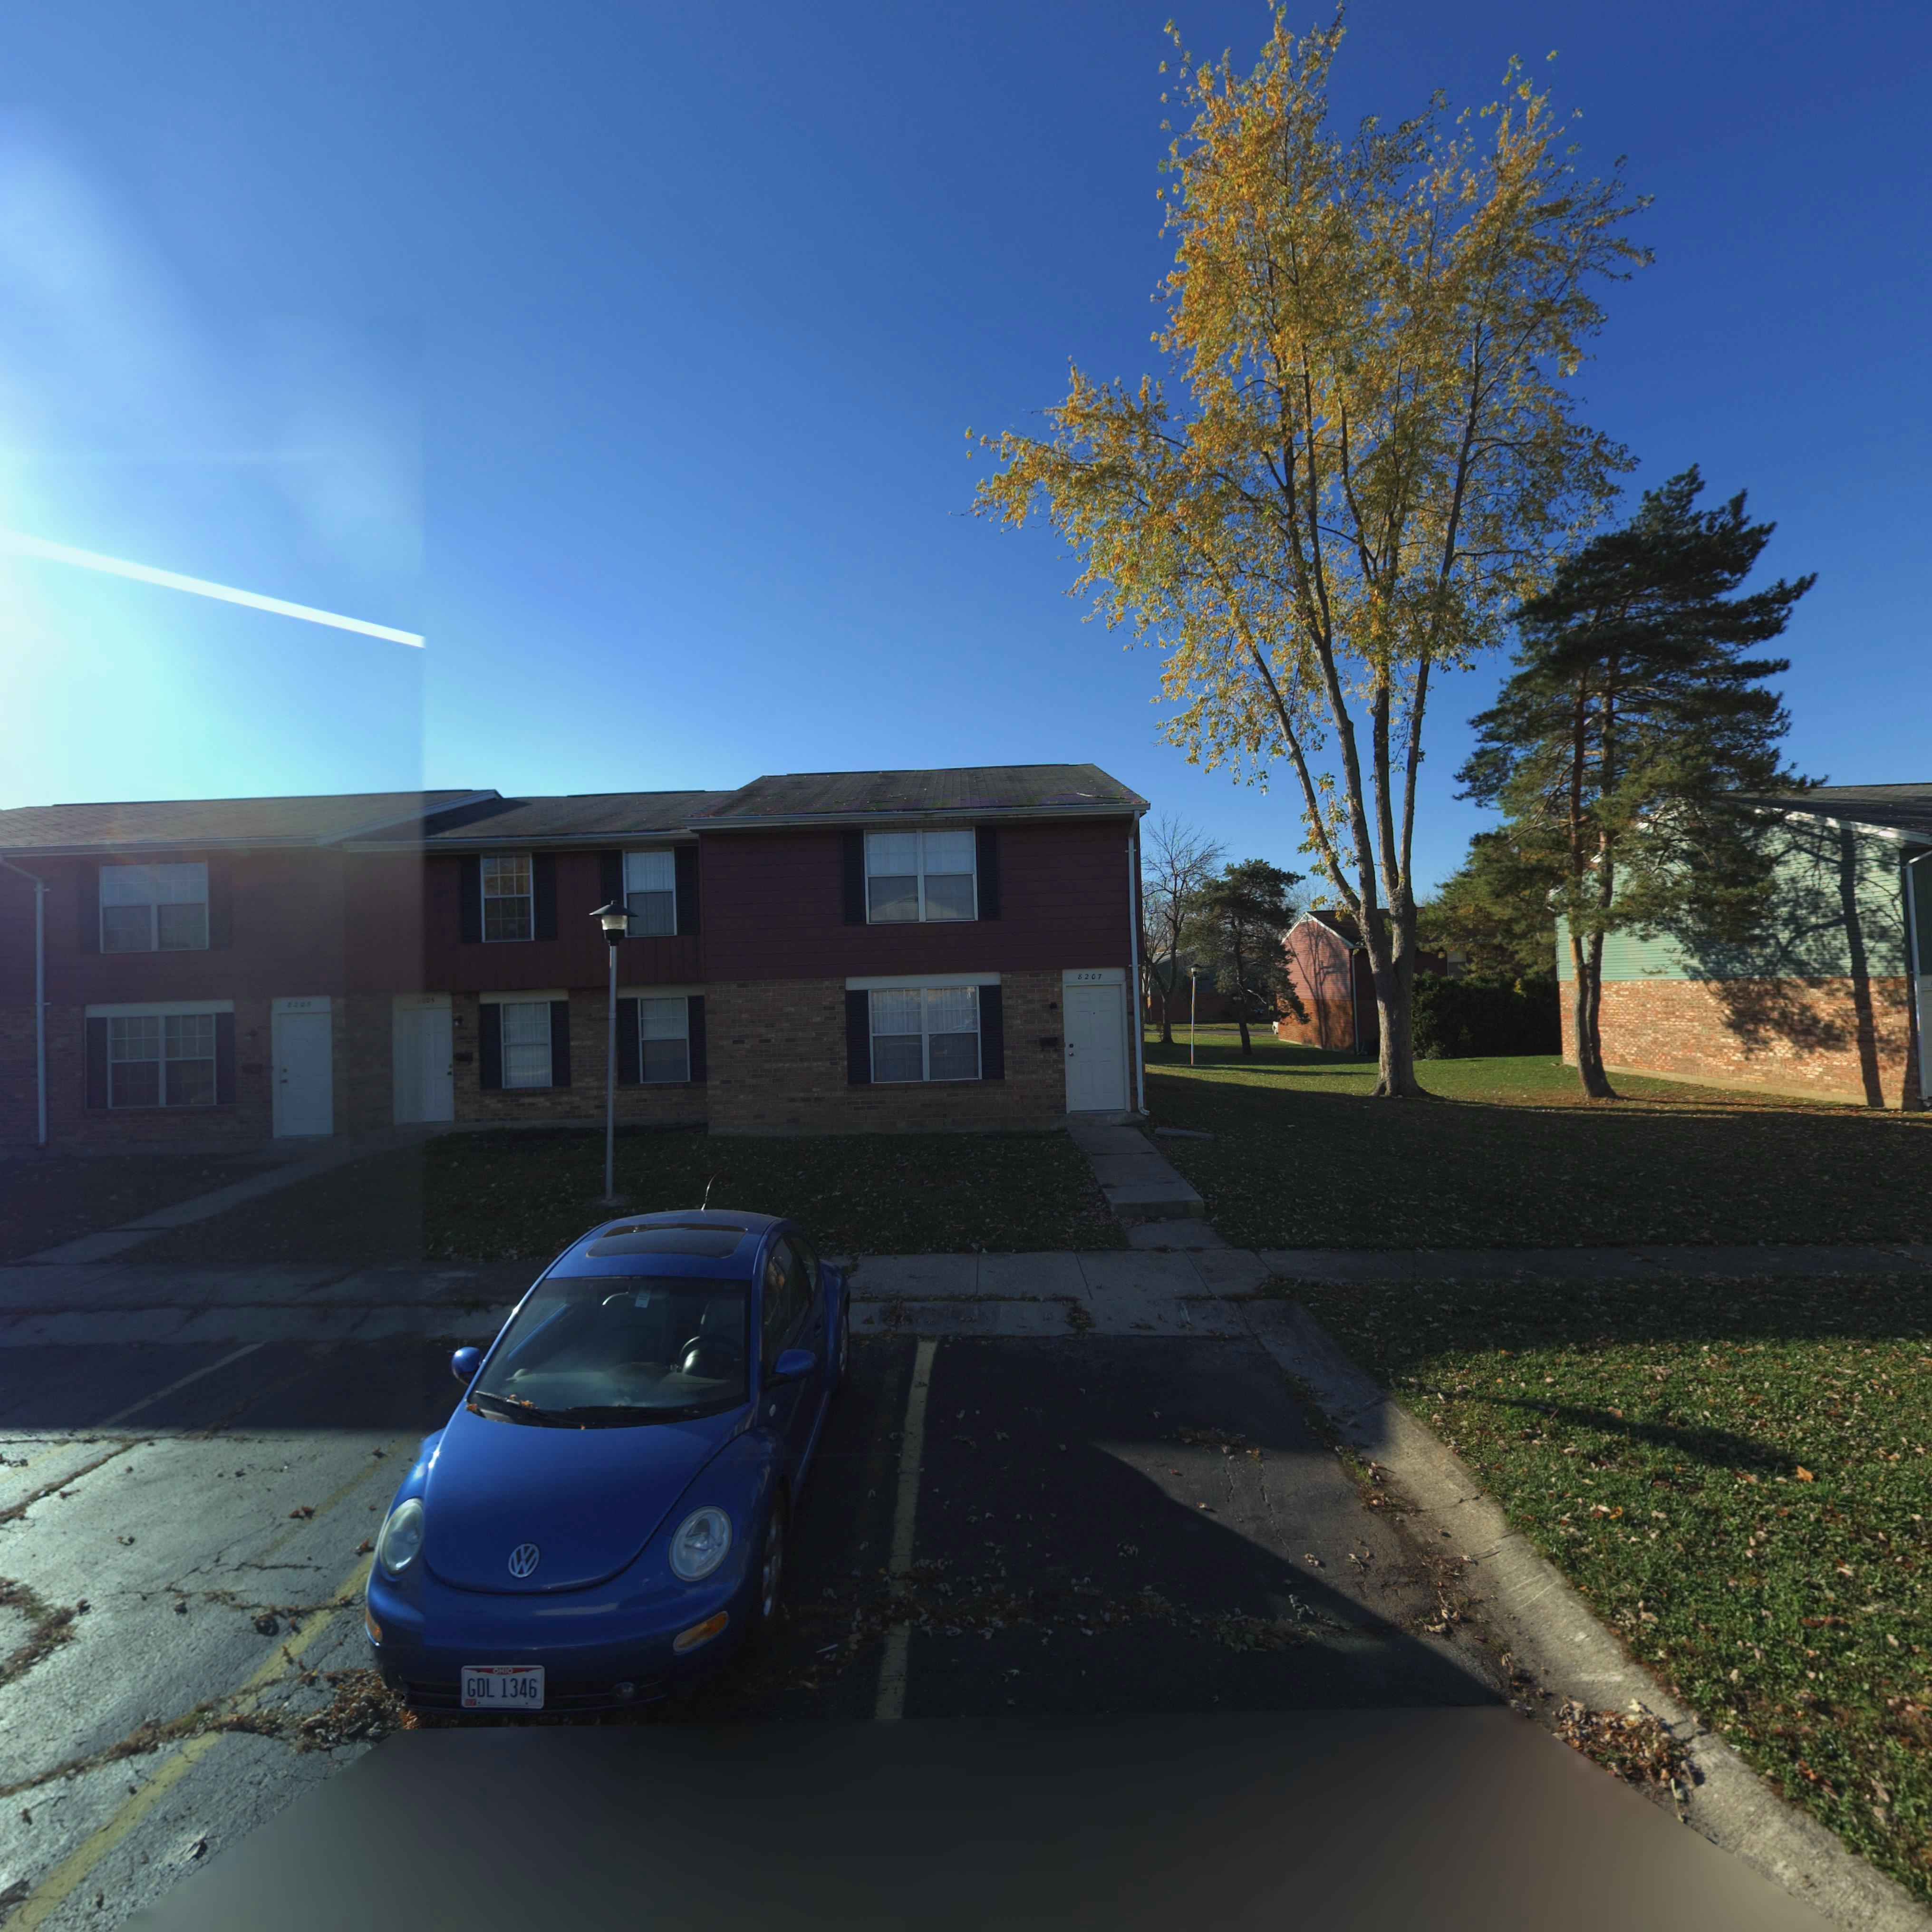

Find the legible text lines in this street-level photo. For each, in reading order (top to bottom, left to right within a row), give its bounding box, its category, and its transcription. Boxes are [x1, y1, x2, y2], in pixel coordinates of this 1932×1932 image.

[1077, 972, 1102, 980] StreetNumber: 8207
[286, 1000, 312, 1008] StreetNumber: 8203
[415, 997, 435, 1005] StreetNumber: **05